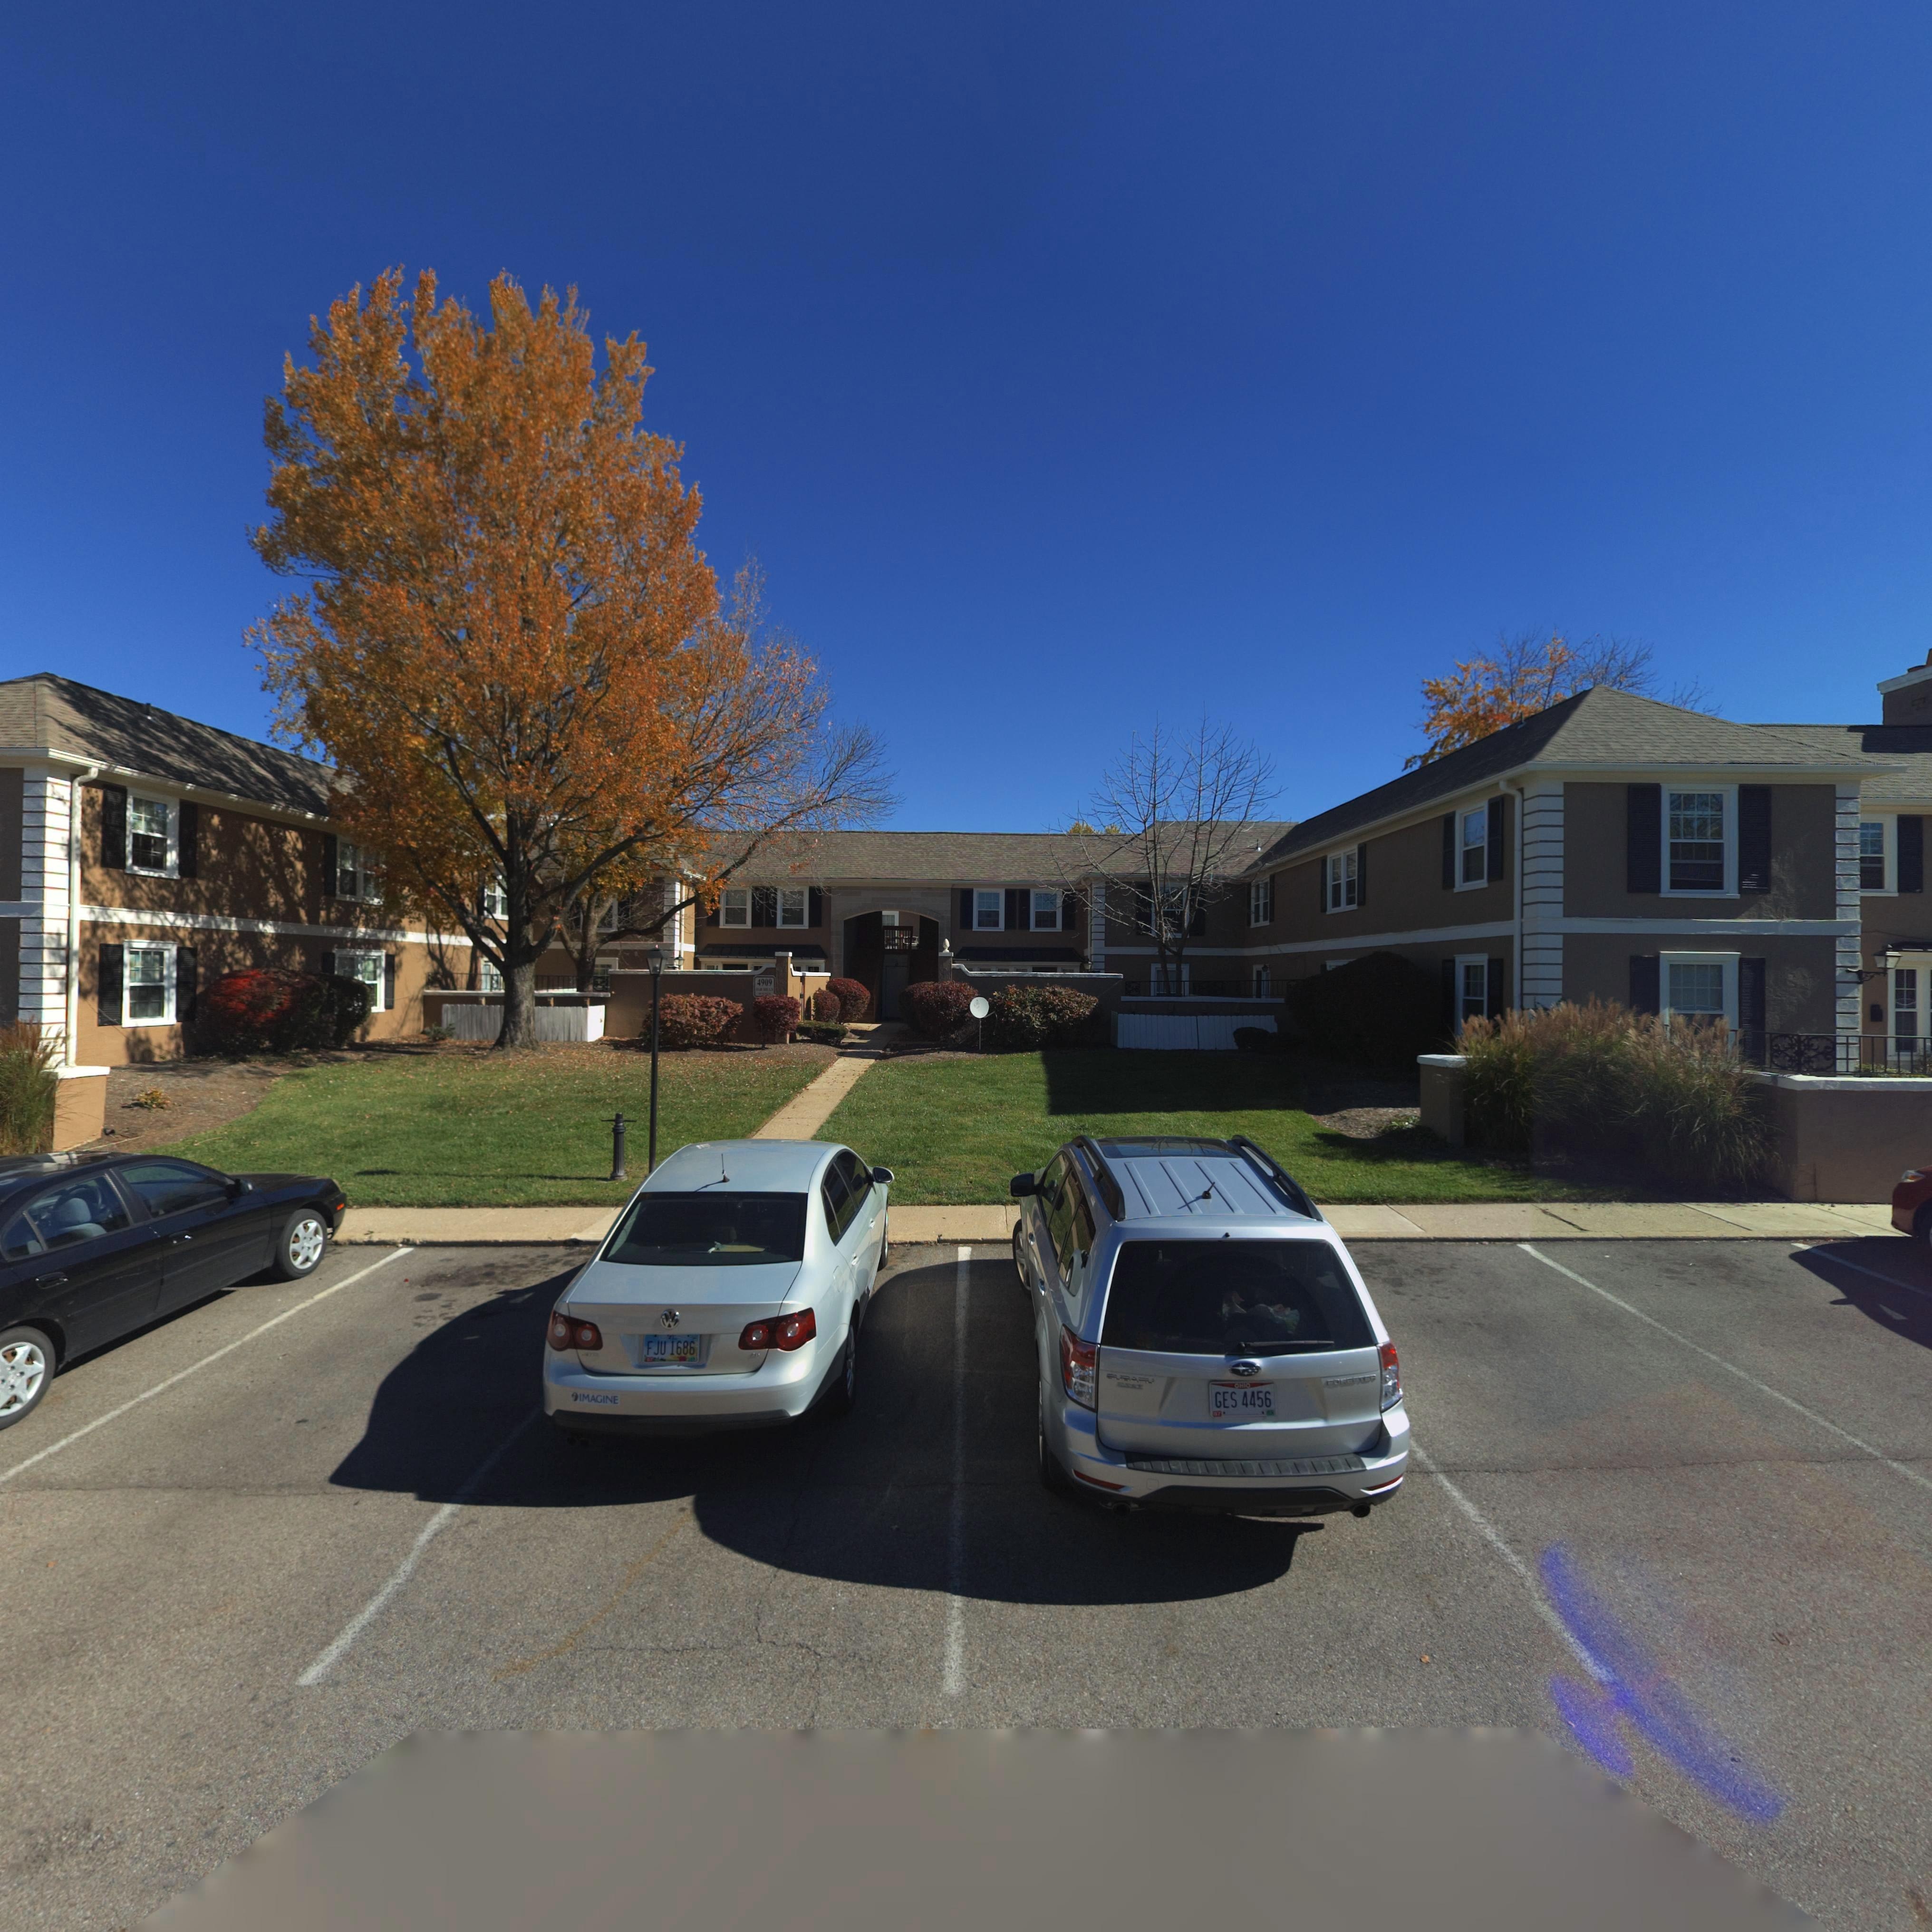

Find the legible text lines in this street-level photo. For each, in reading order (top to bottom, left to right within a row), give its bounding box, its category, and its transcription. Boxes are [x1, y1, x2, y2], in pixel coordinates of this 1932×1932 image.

[756, 978, 773, 986] StreetNumber: 4909